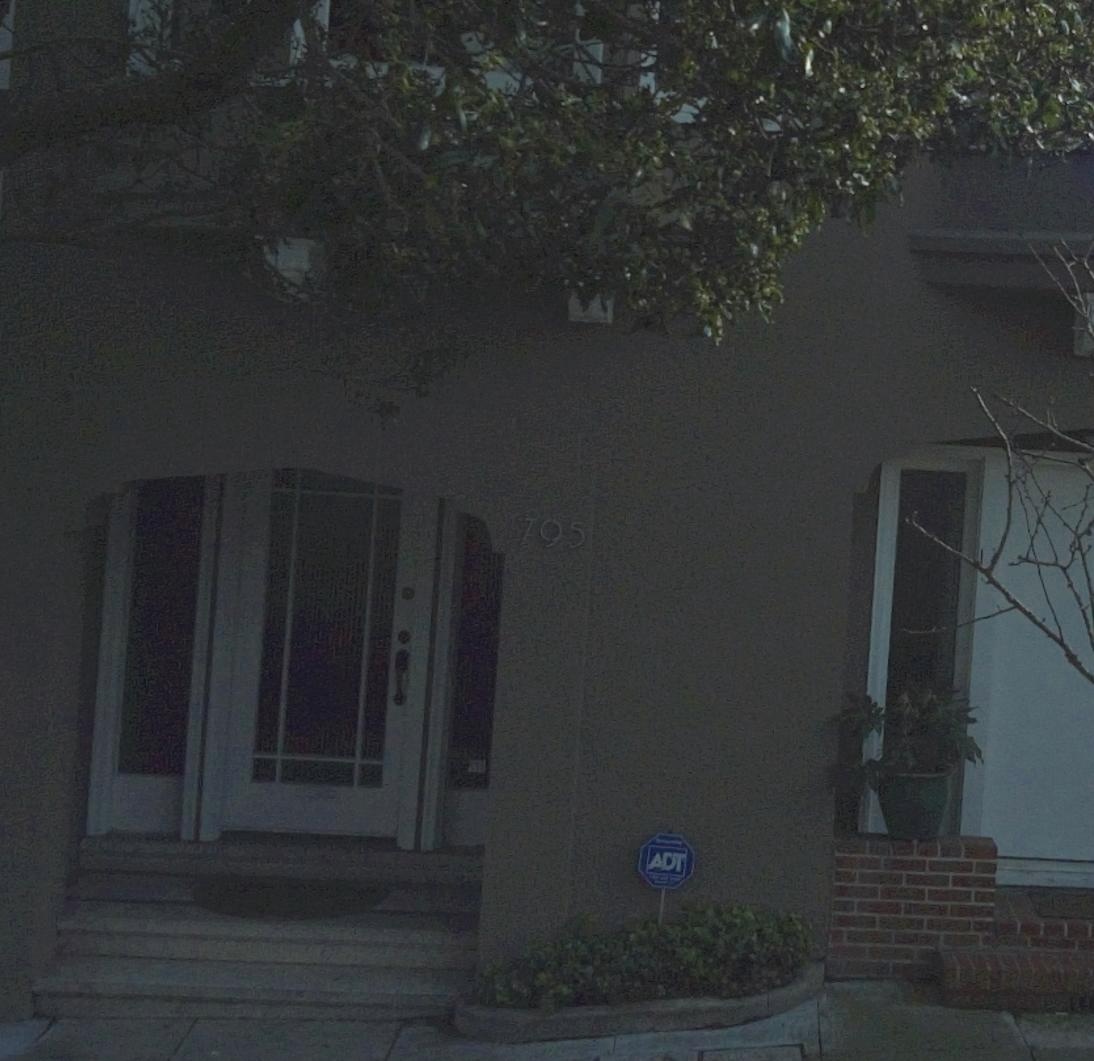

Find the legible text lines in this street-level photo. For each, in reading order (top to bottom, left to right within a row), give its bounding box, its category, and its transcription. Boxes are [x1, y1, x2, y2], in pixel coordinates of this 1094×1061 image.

[517, 515, 588, 550] StreetNumber: 795
[649, 851, 687, 872] None: ADT